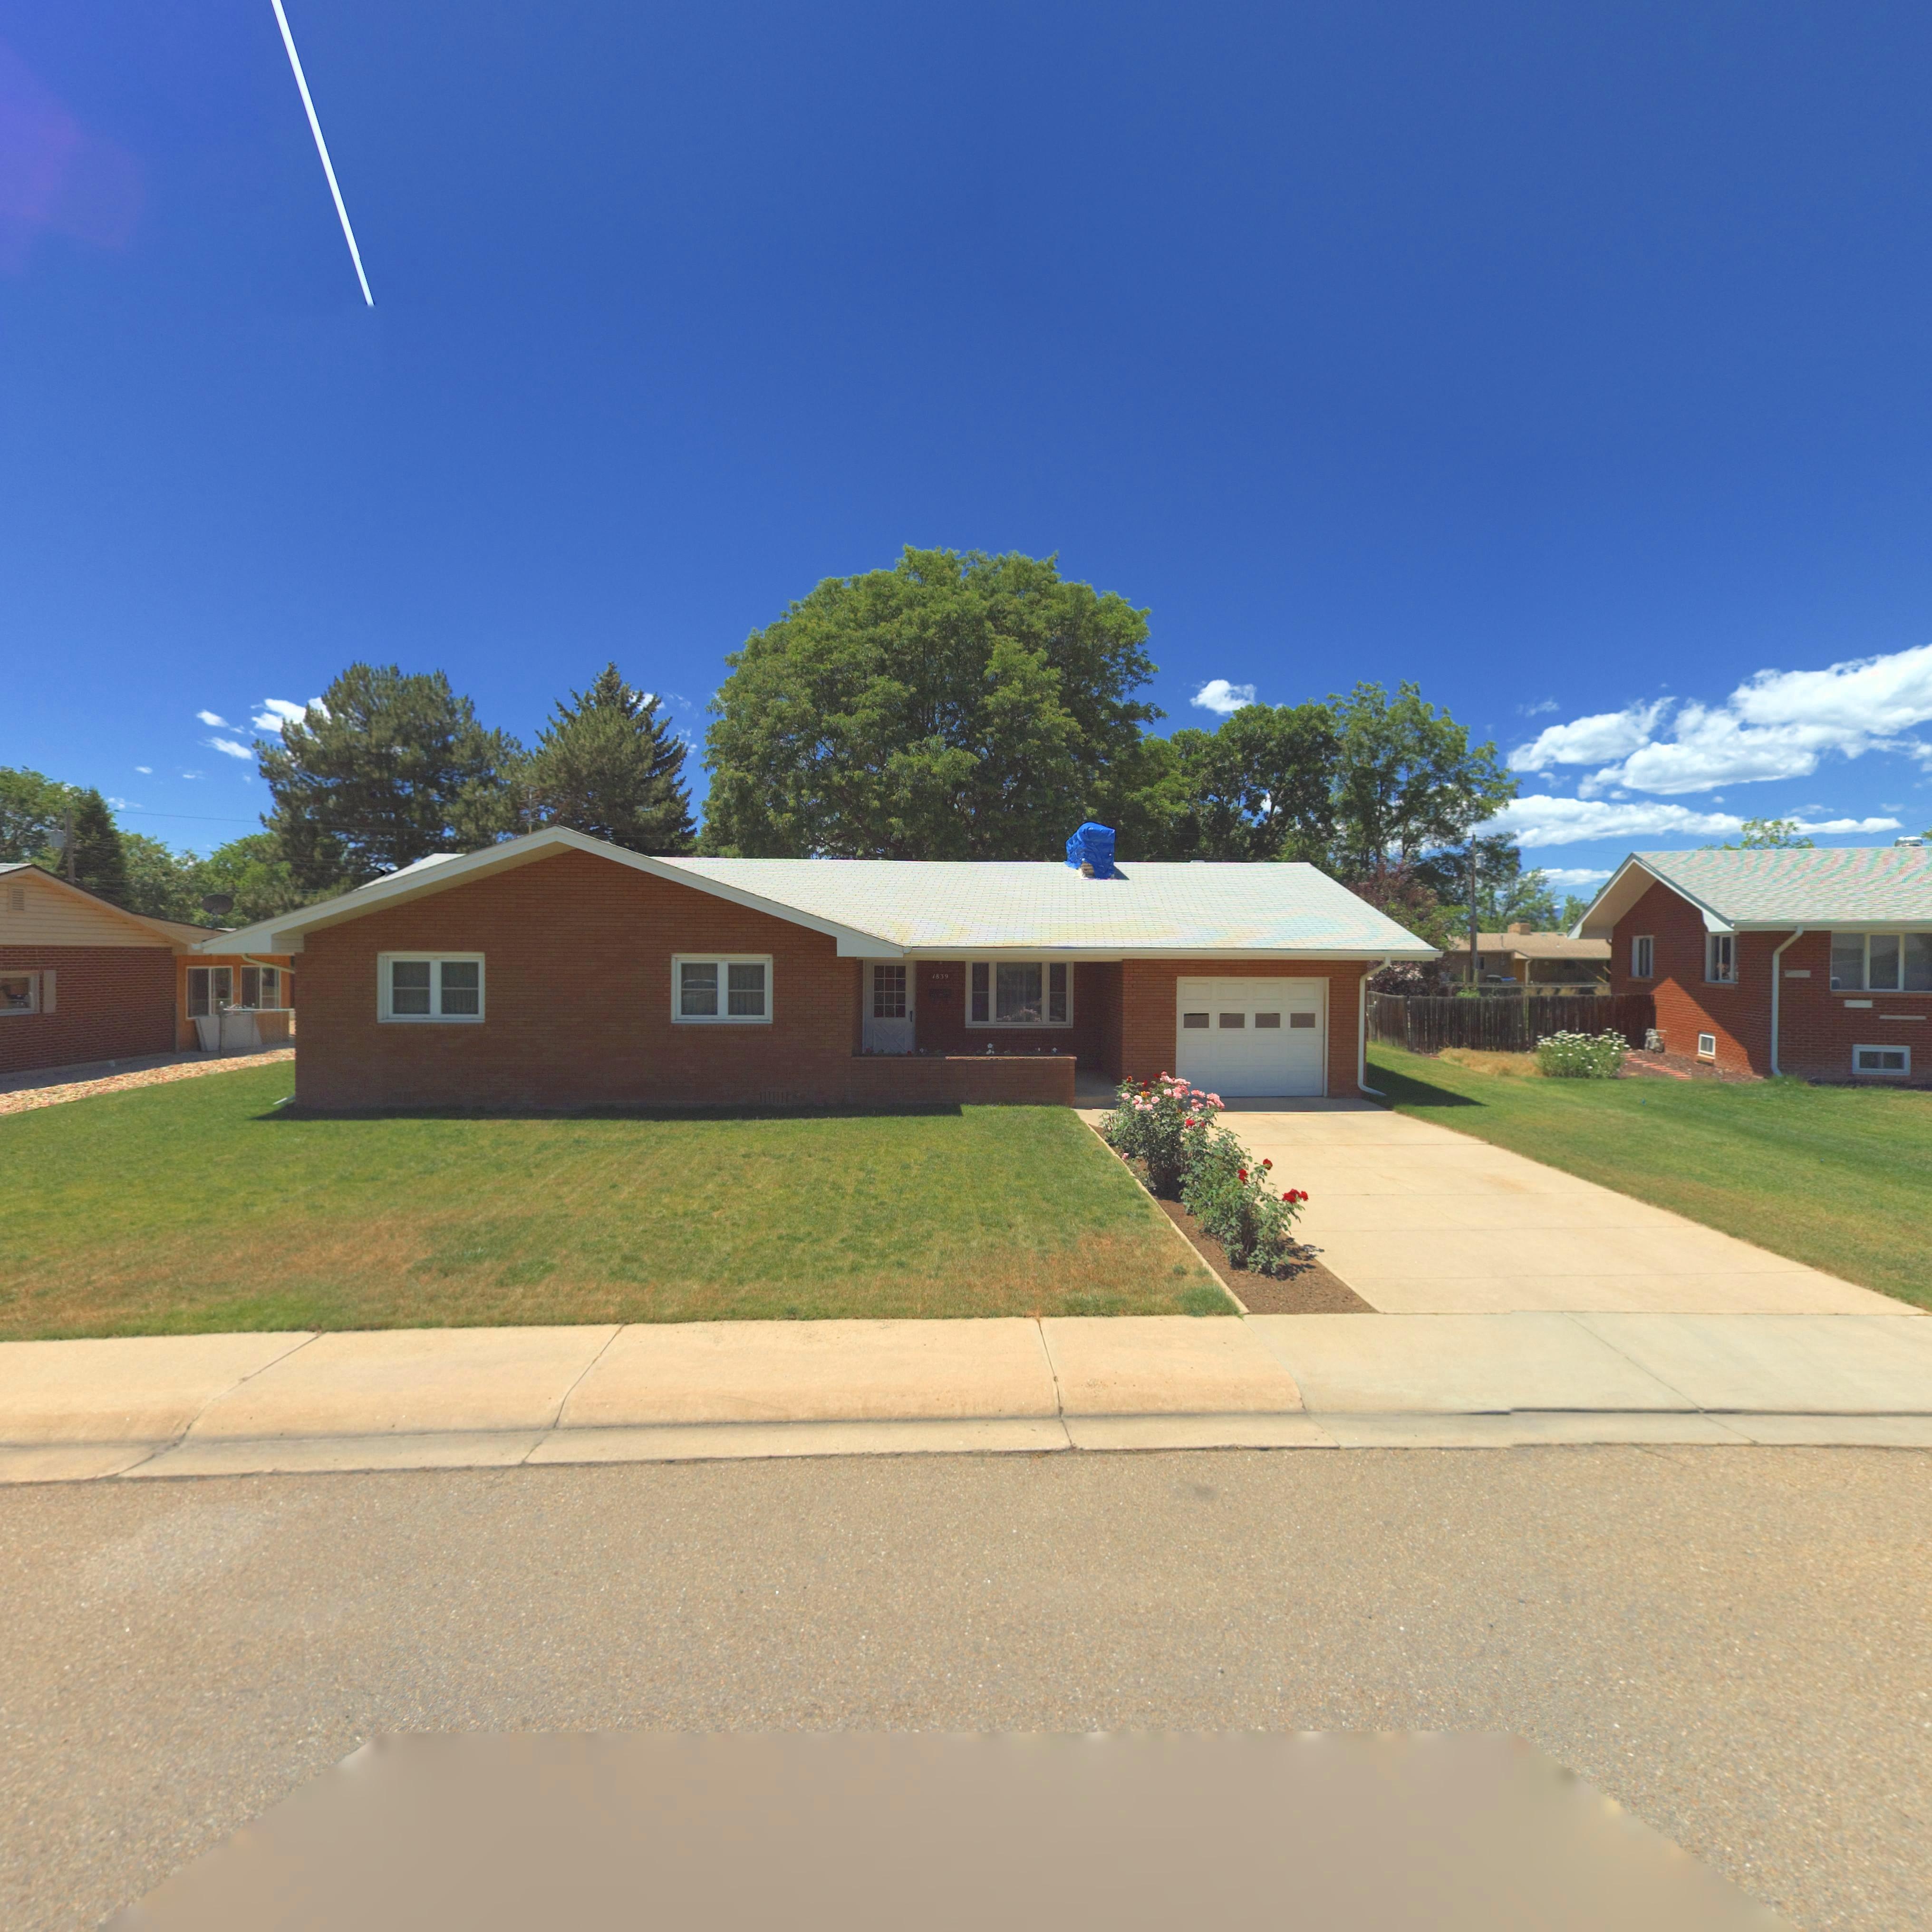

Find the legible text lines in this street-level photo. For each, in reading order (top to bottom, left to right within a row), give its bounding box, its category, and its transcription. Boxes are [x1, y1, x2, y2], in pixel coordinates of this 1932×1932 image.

[931, 973, 948, 980] StreetNumber: 1839